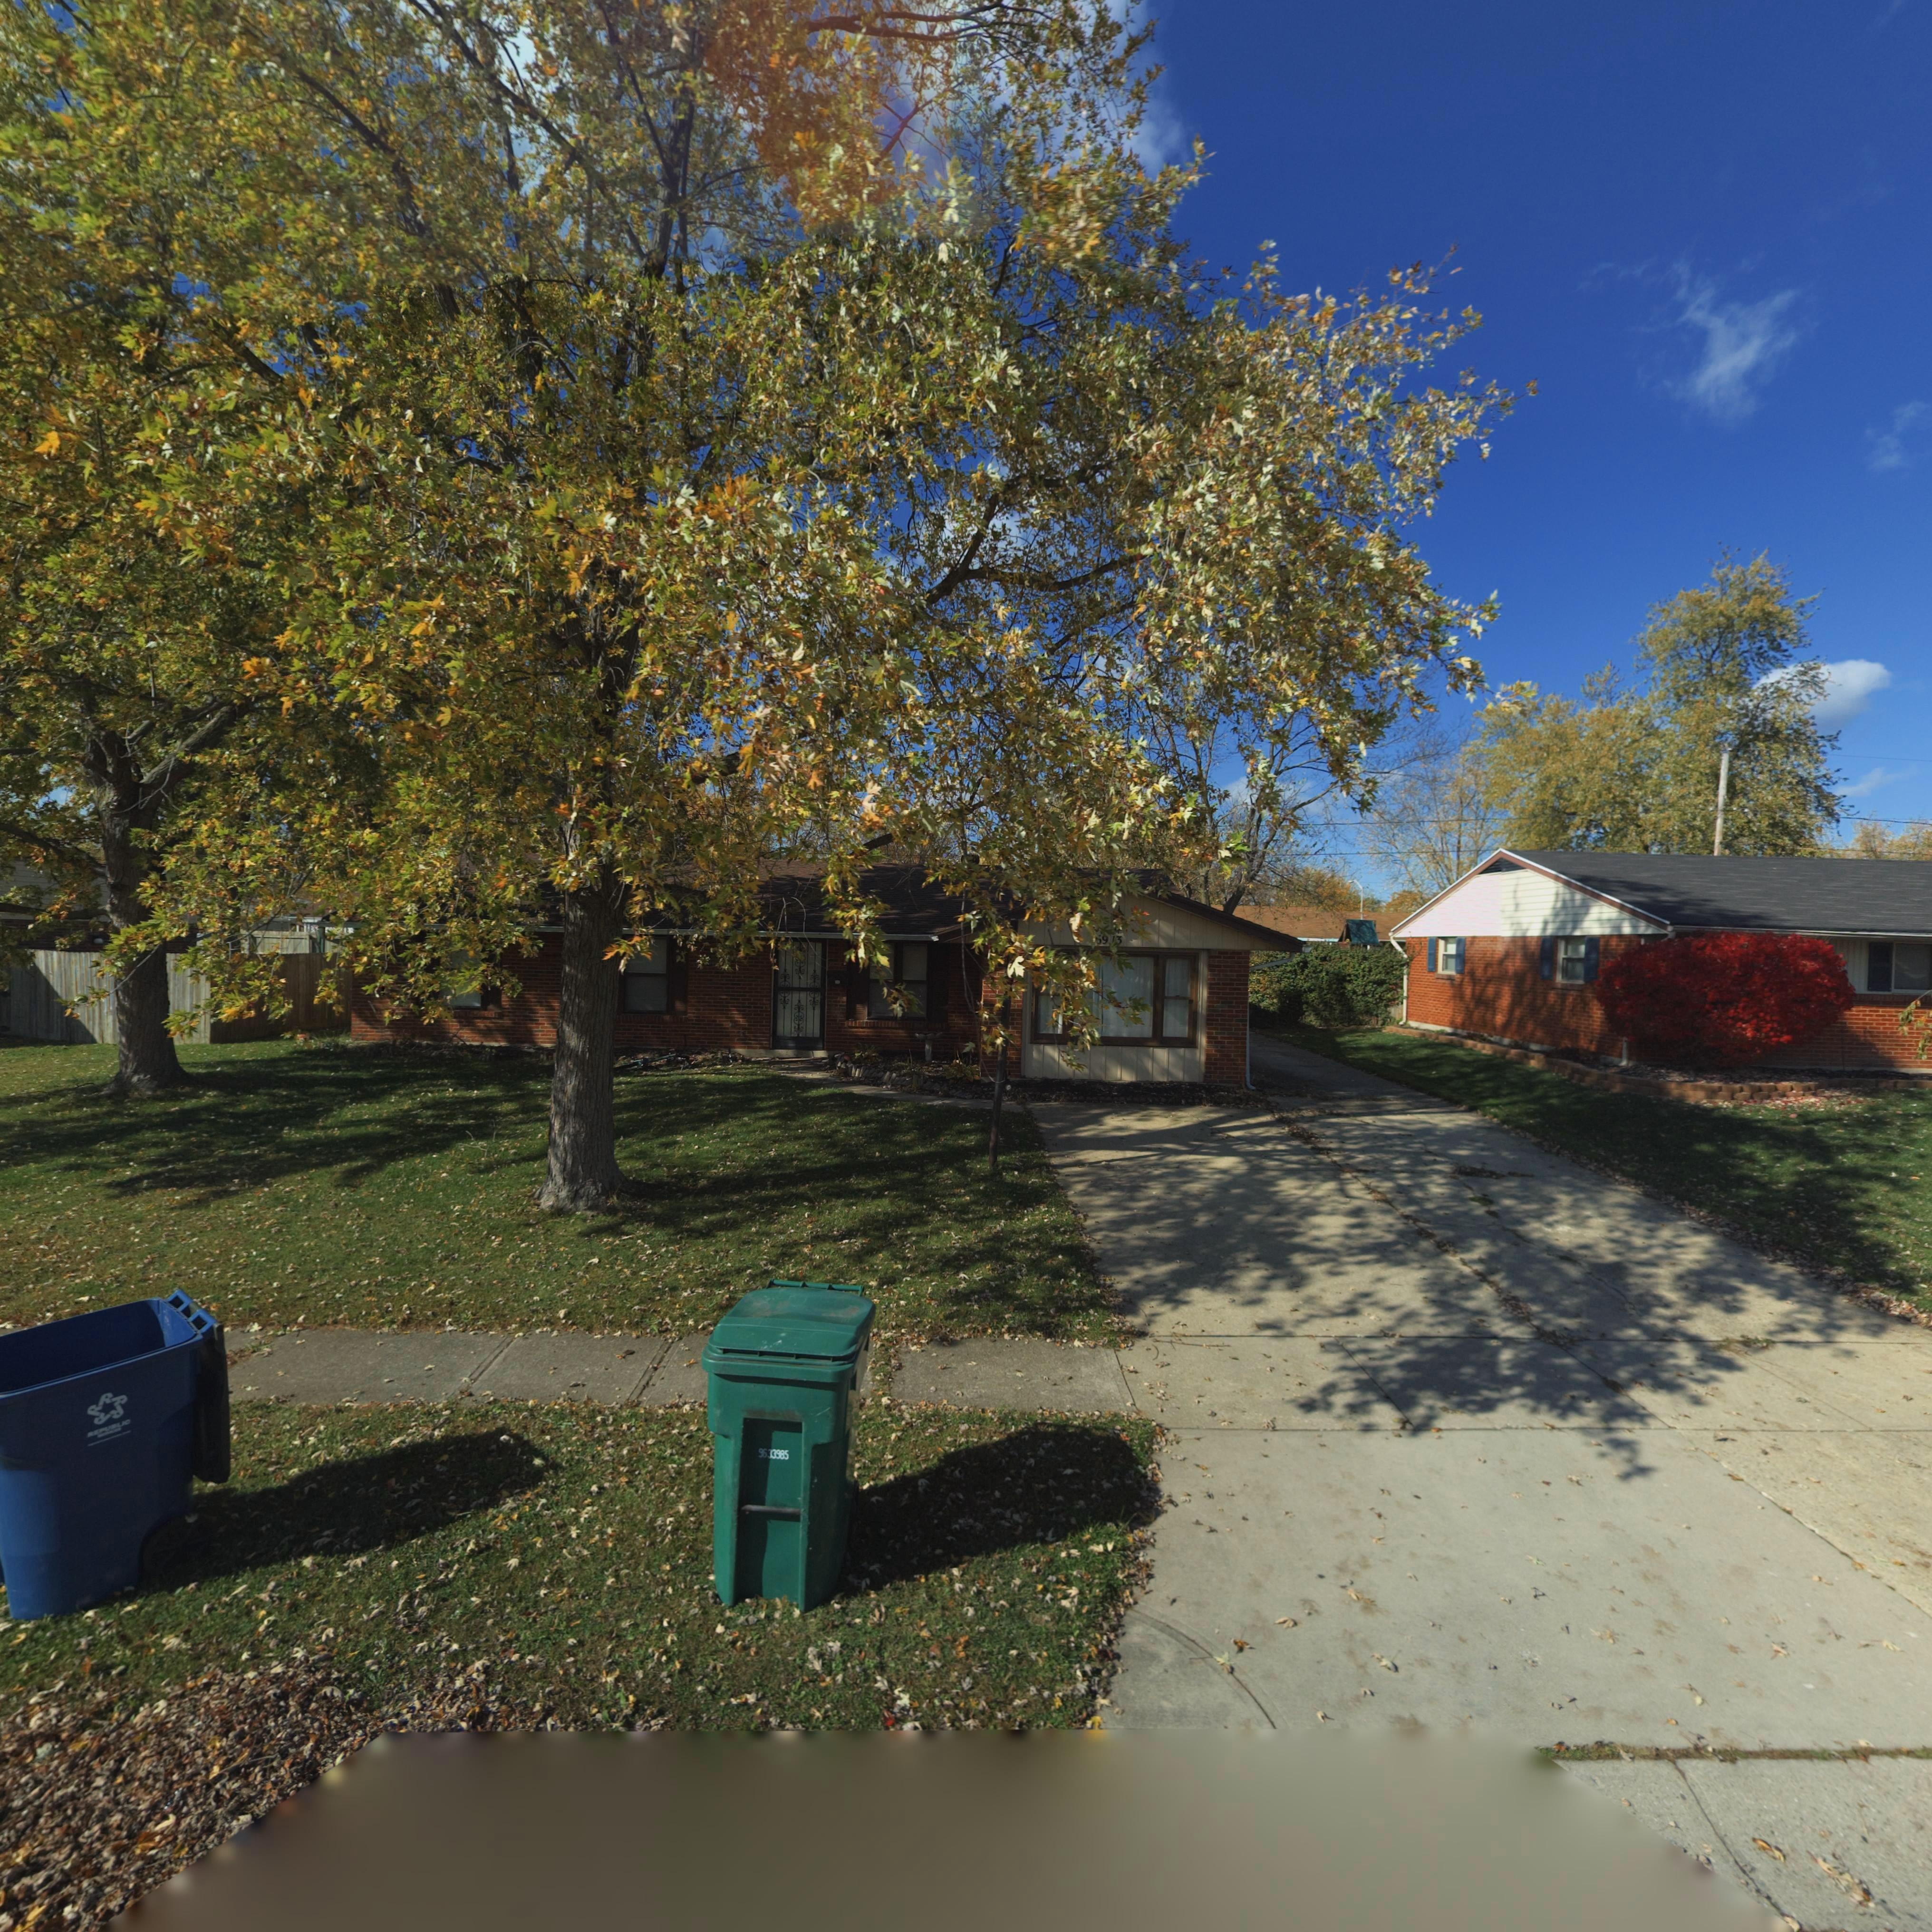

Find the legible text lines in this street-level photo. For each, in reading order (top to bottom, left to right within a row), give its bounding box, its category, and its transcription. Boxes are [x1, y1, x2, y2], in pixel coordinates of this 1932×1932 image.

[1093, 933, 1124, 947] StreetNumber: *9*3